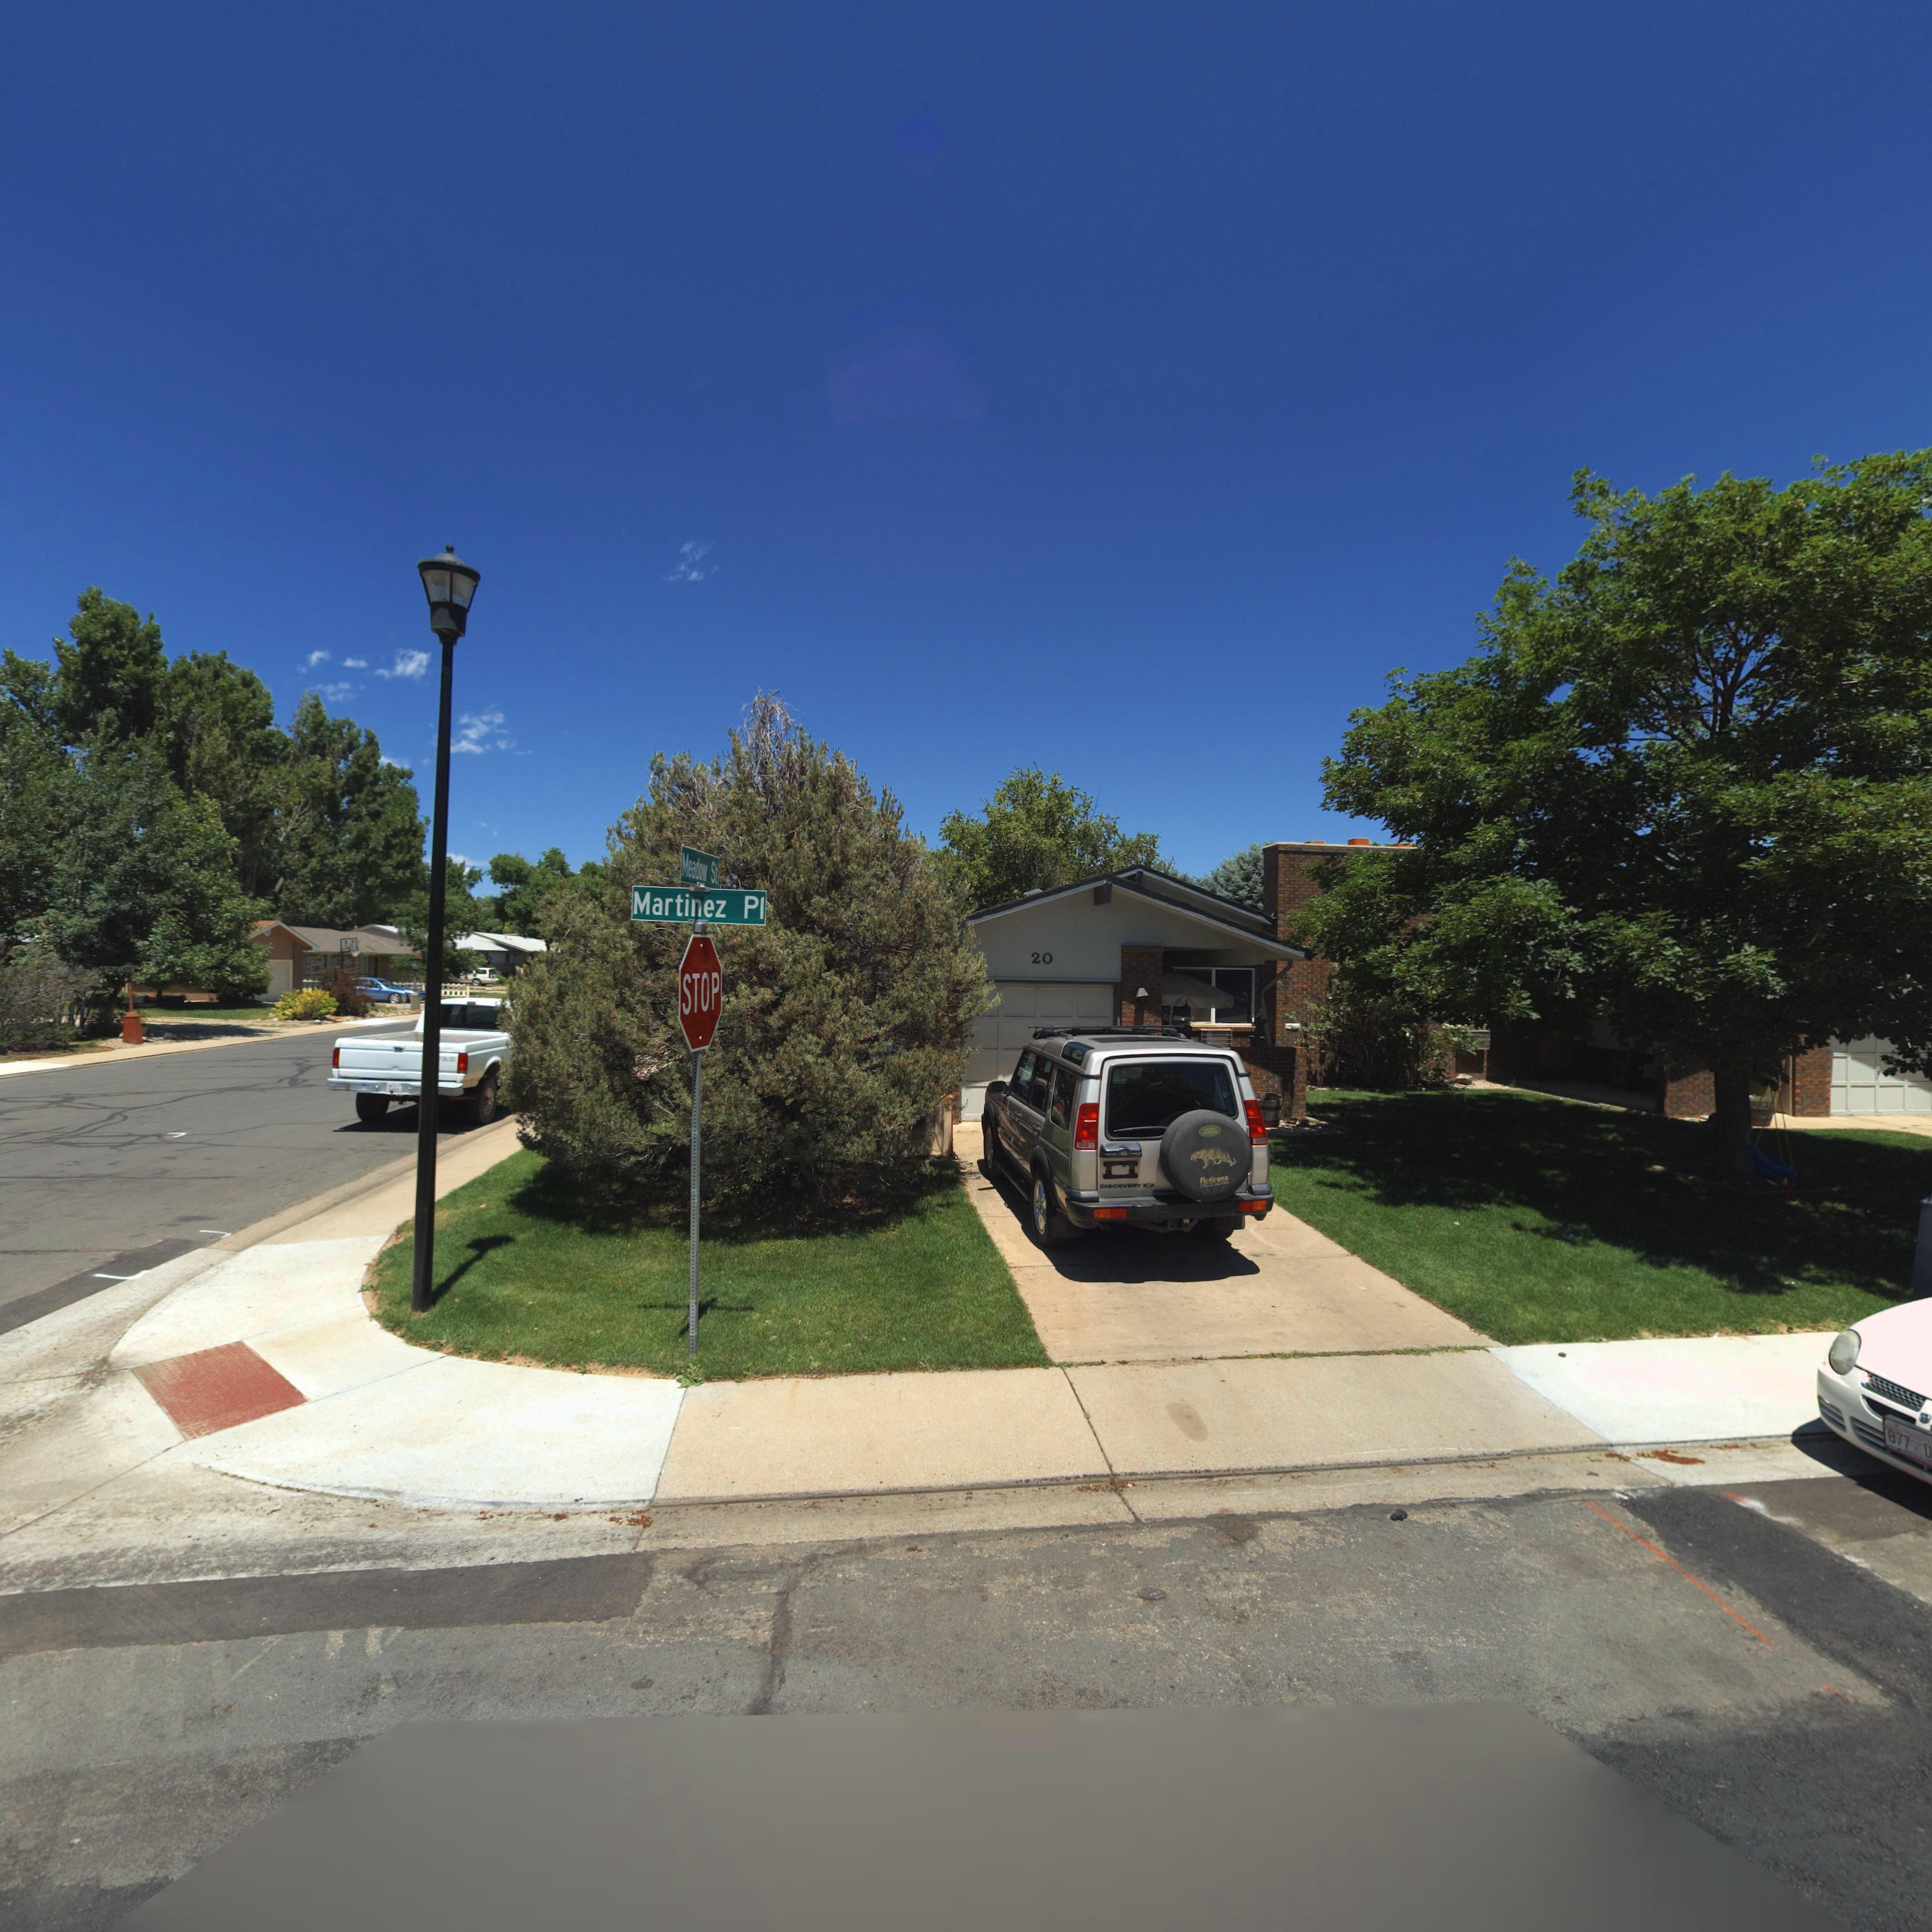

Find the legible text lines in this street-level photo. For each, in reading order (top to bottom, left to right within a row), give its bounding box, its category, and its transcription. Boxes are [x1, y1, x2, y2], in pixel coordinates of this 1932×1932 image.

[681, 852, 717, 885] StreetName: Meadow St
[633, 890, 764, 919] StreetName: Martinez Pl
[1031, 952, 1053, 964] StreetNumber: 20